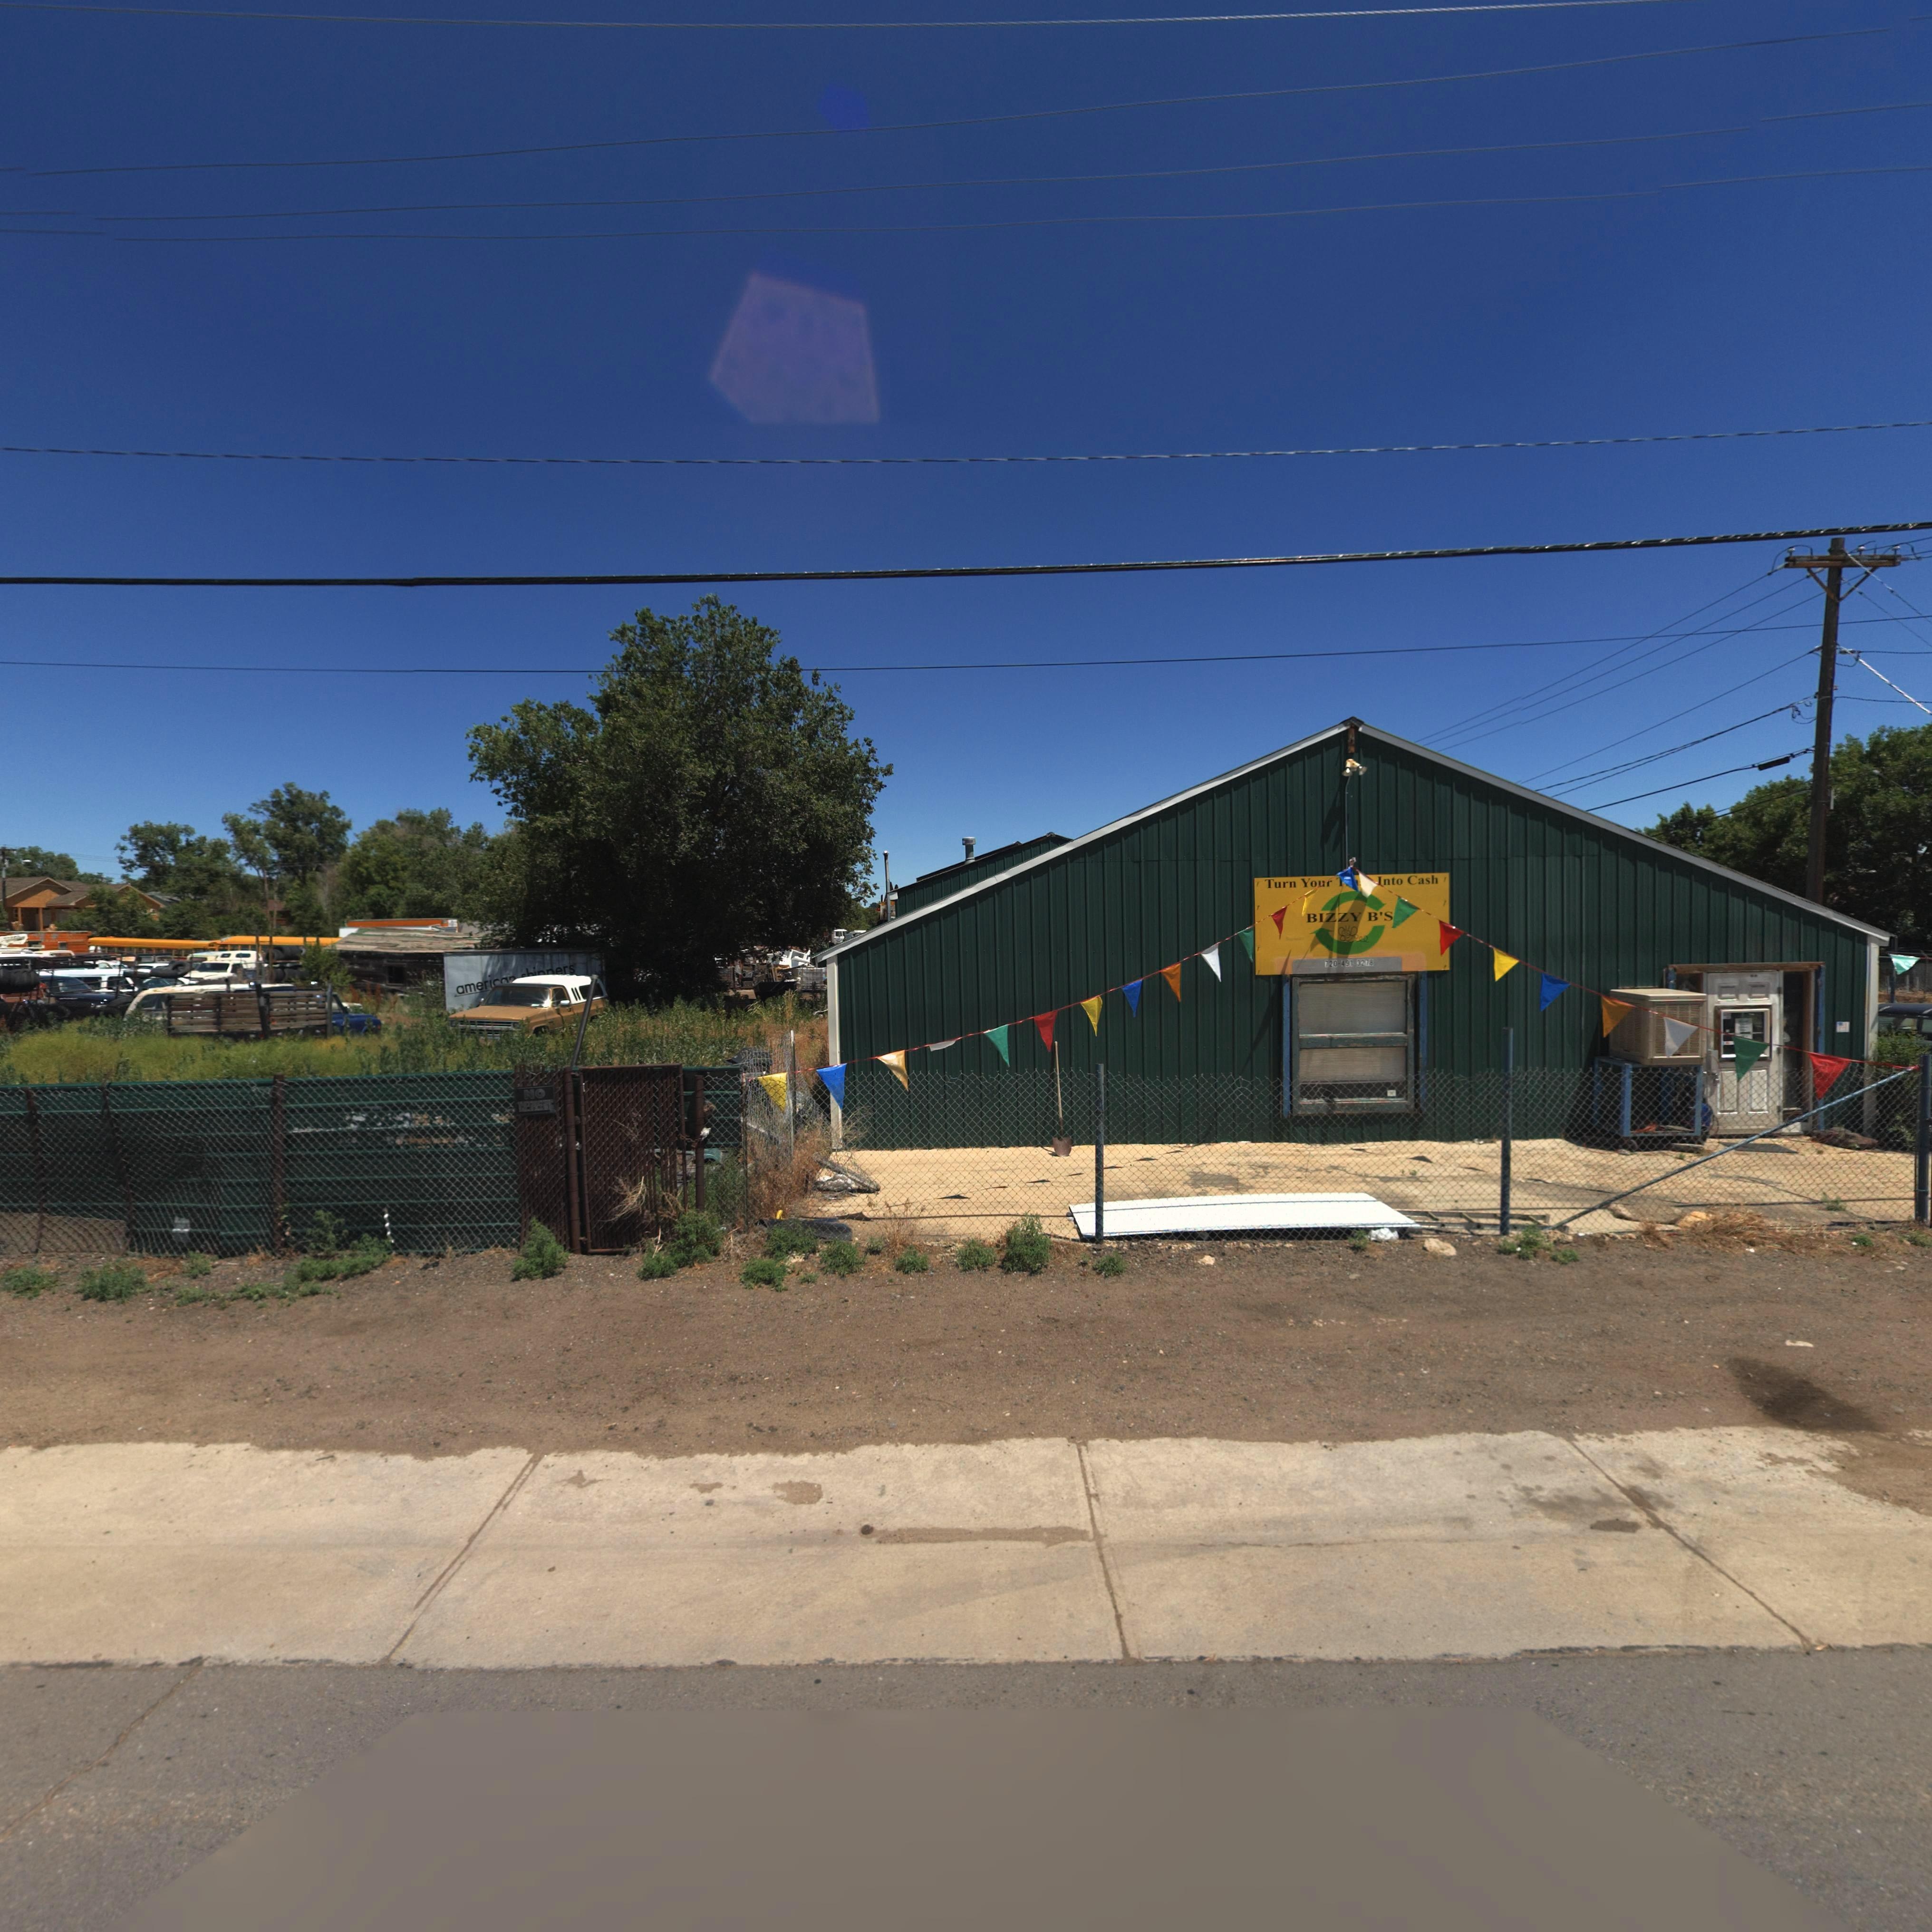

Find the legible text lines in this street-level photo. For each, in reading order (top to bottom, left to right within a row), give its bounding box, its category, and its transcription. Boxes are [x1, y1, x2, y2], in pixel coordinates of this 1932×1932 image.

[1306, 911, 1394, 923] BusinessName: BIZZY B'S